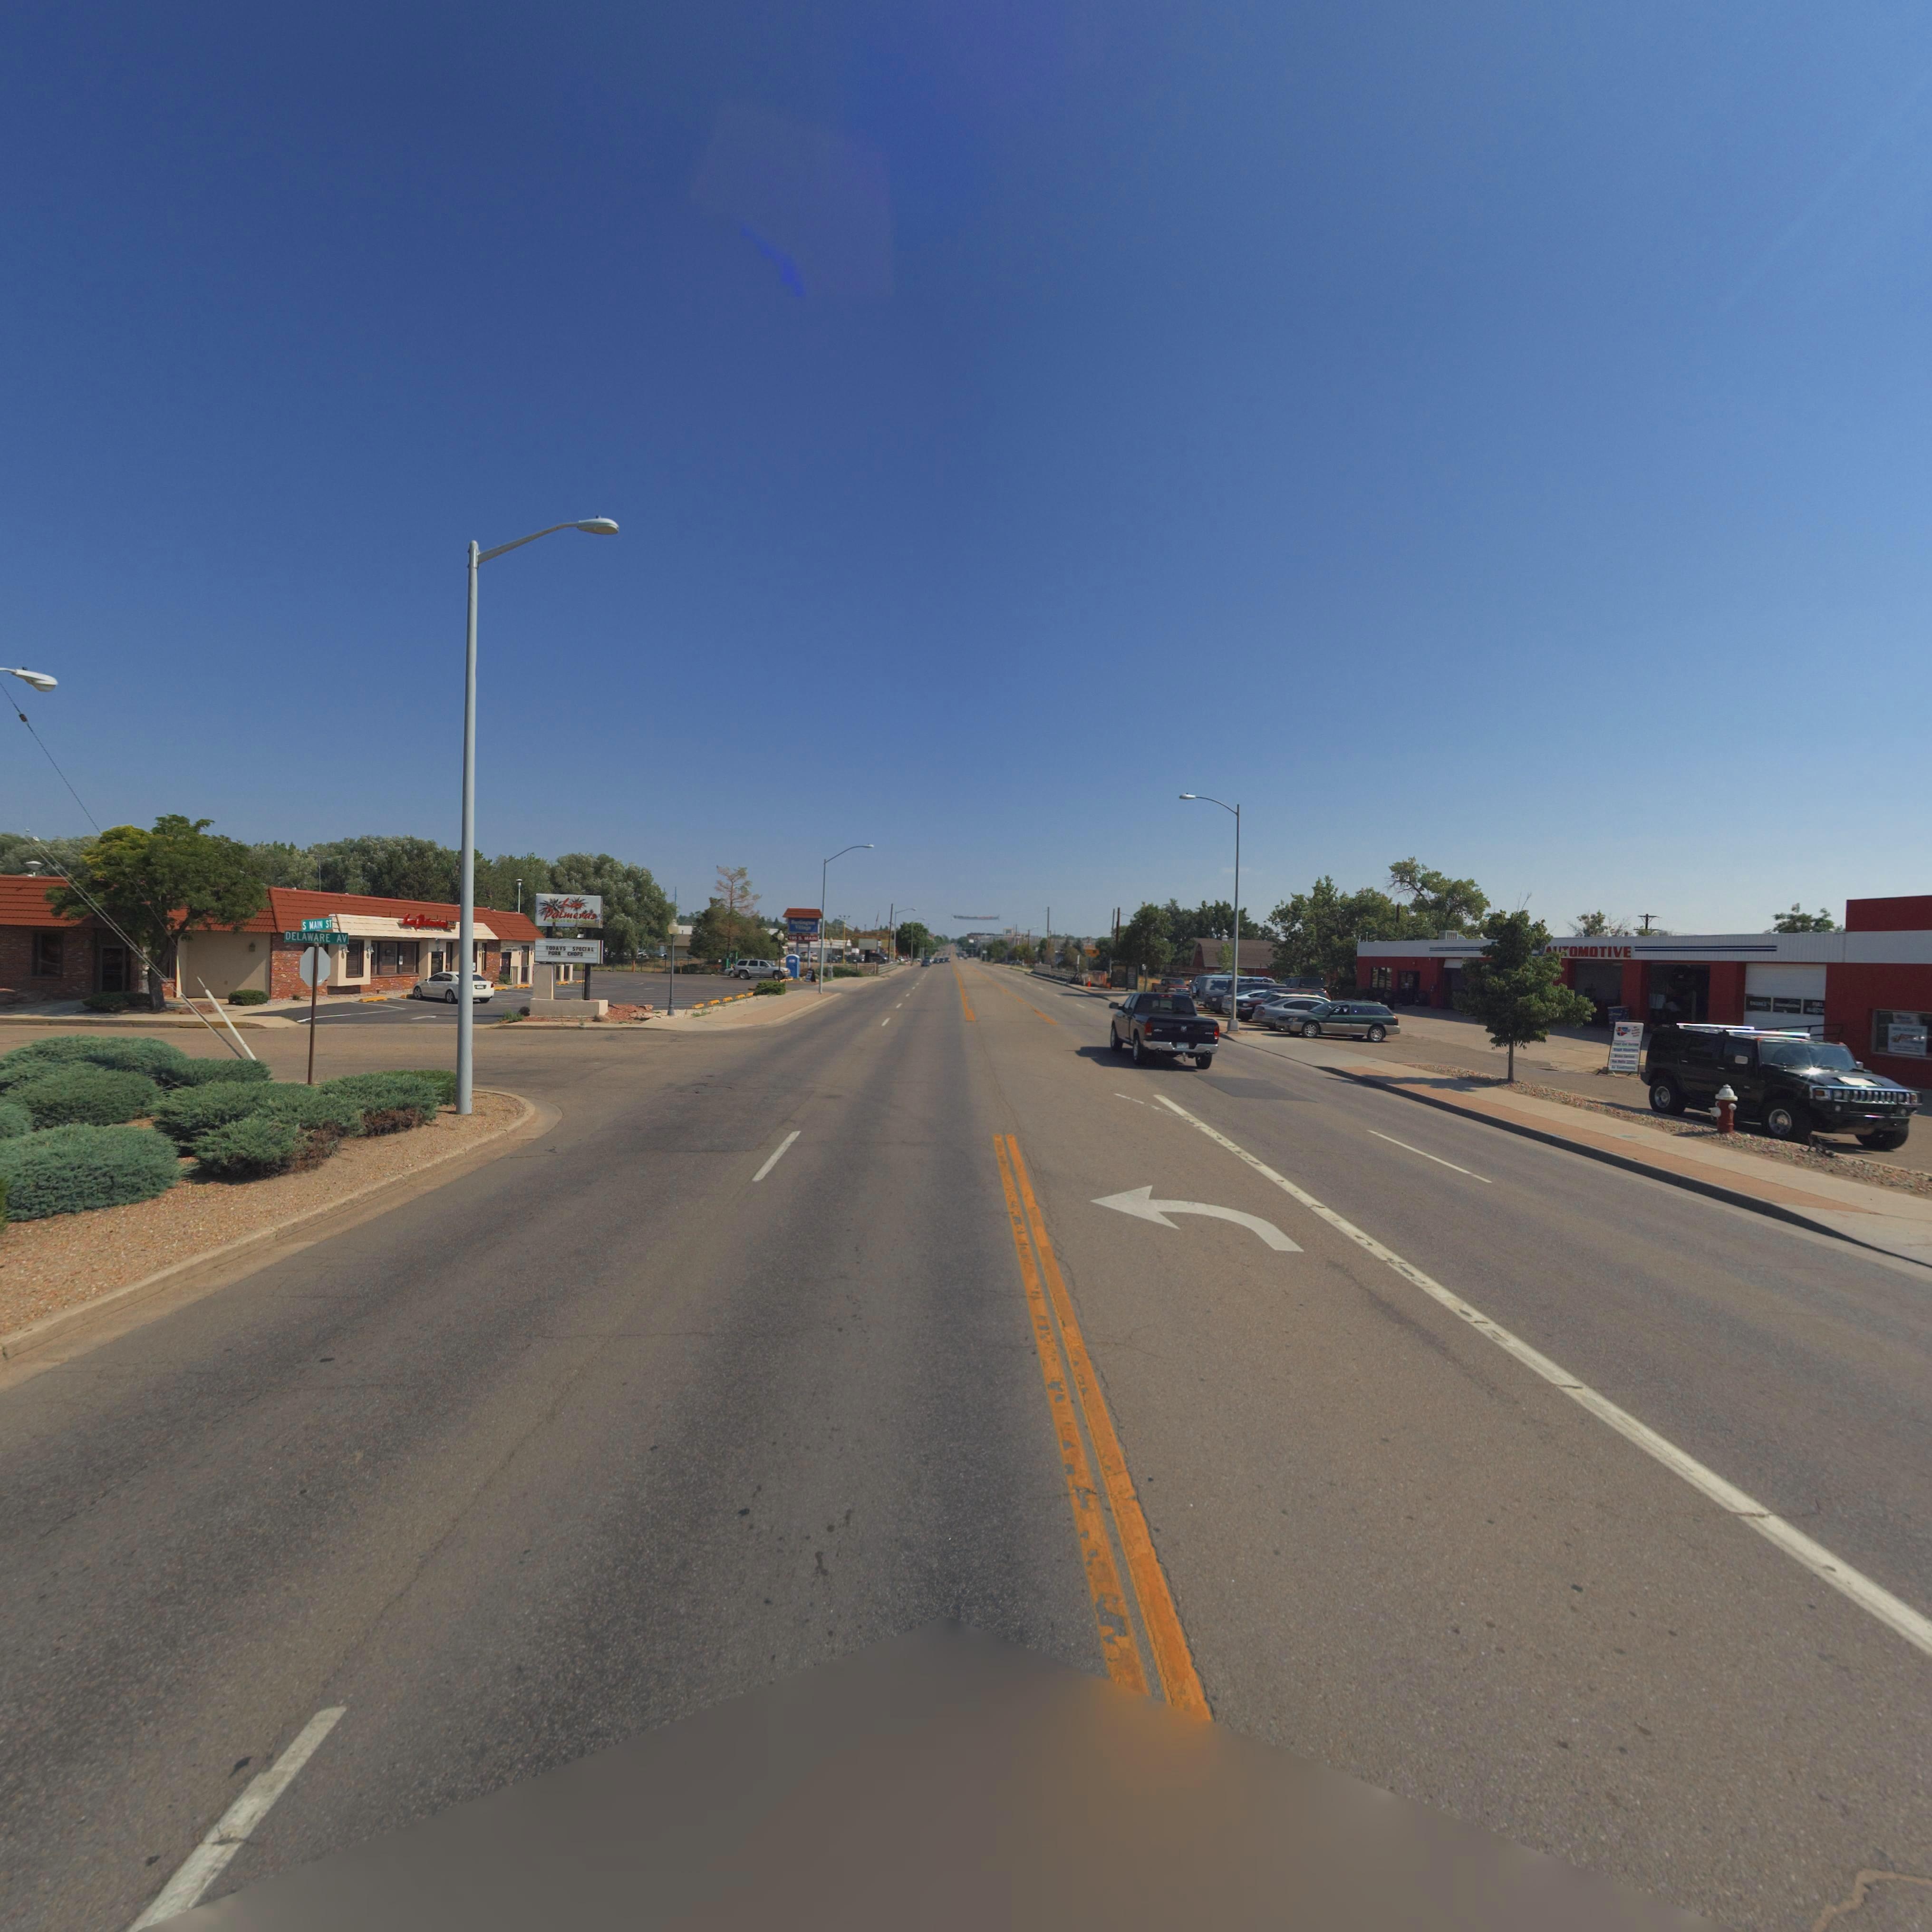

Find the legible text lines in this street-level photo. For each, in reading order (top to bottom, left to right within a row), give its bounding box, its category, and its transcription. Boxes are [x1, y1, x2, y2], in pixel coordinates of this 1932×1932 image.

[560, 896, 582, 908] BusinessName: Las
[543, 906, 597, 921] BusinessName: Palmeras
[301, 919, 332, 930] StreetName: S MAIN ST
[400, 912, 447, 929] BusinessName: Las Palmeras
[285, 931, 348, 943] StreetName: DELAWARE AV
[789, 936, 797, 940] StreetNumber: 195
[798, 936, 818, 940] StreetName: S. MAIN